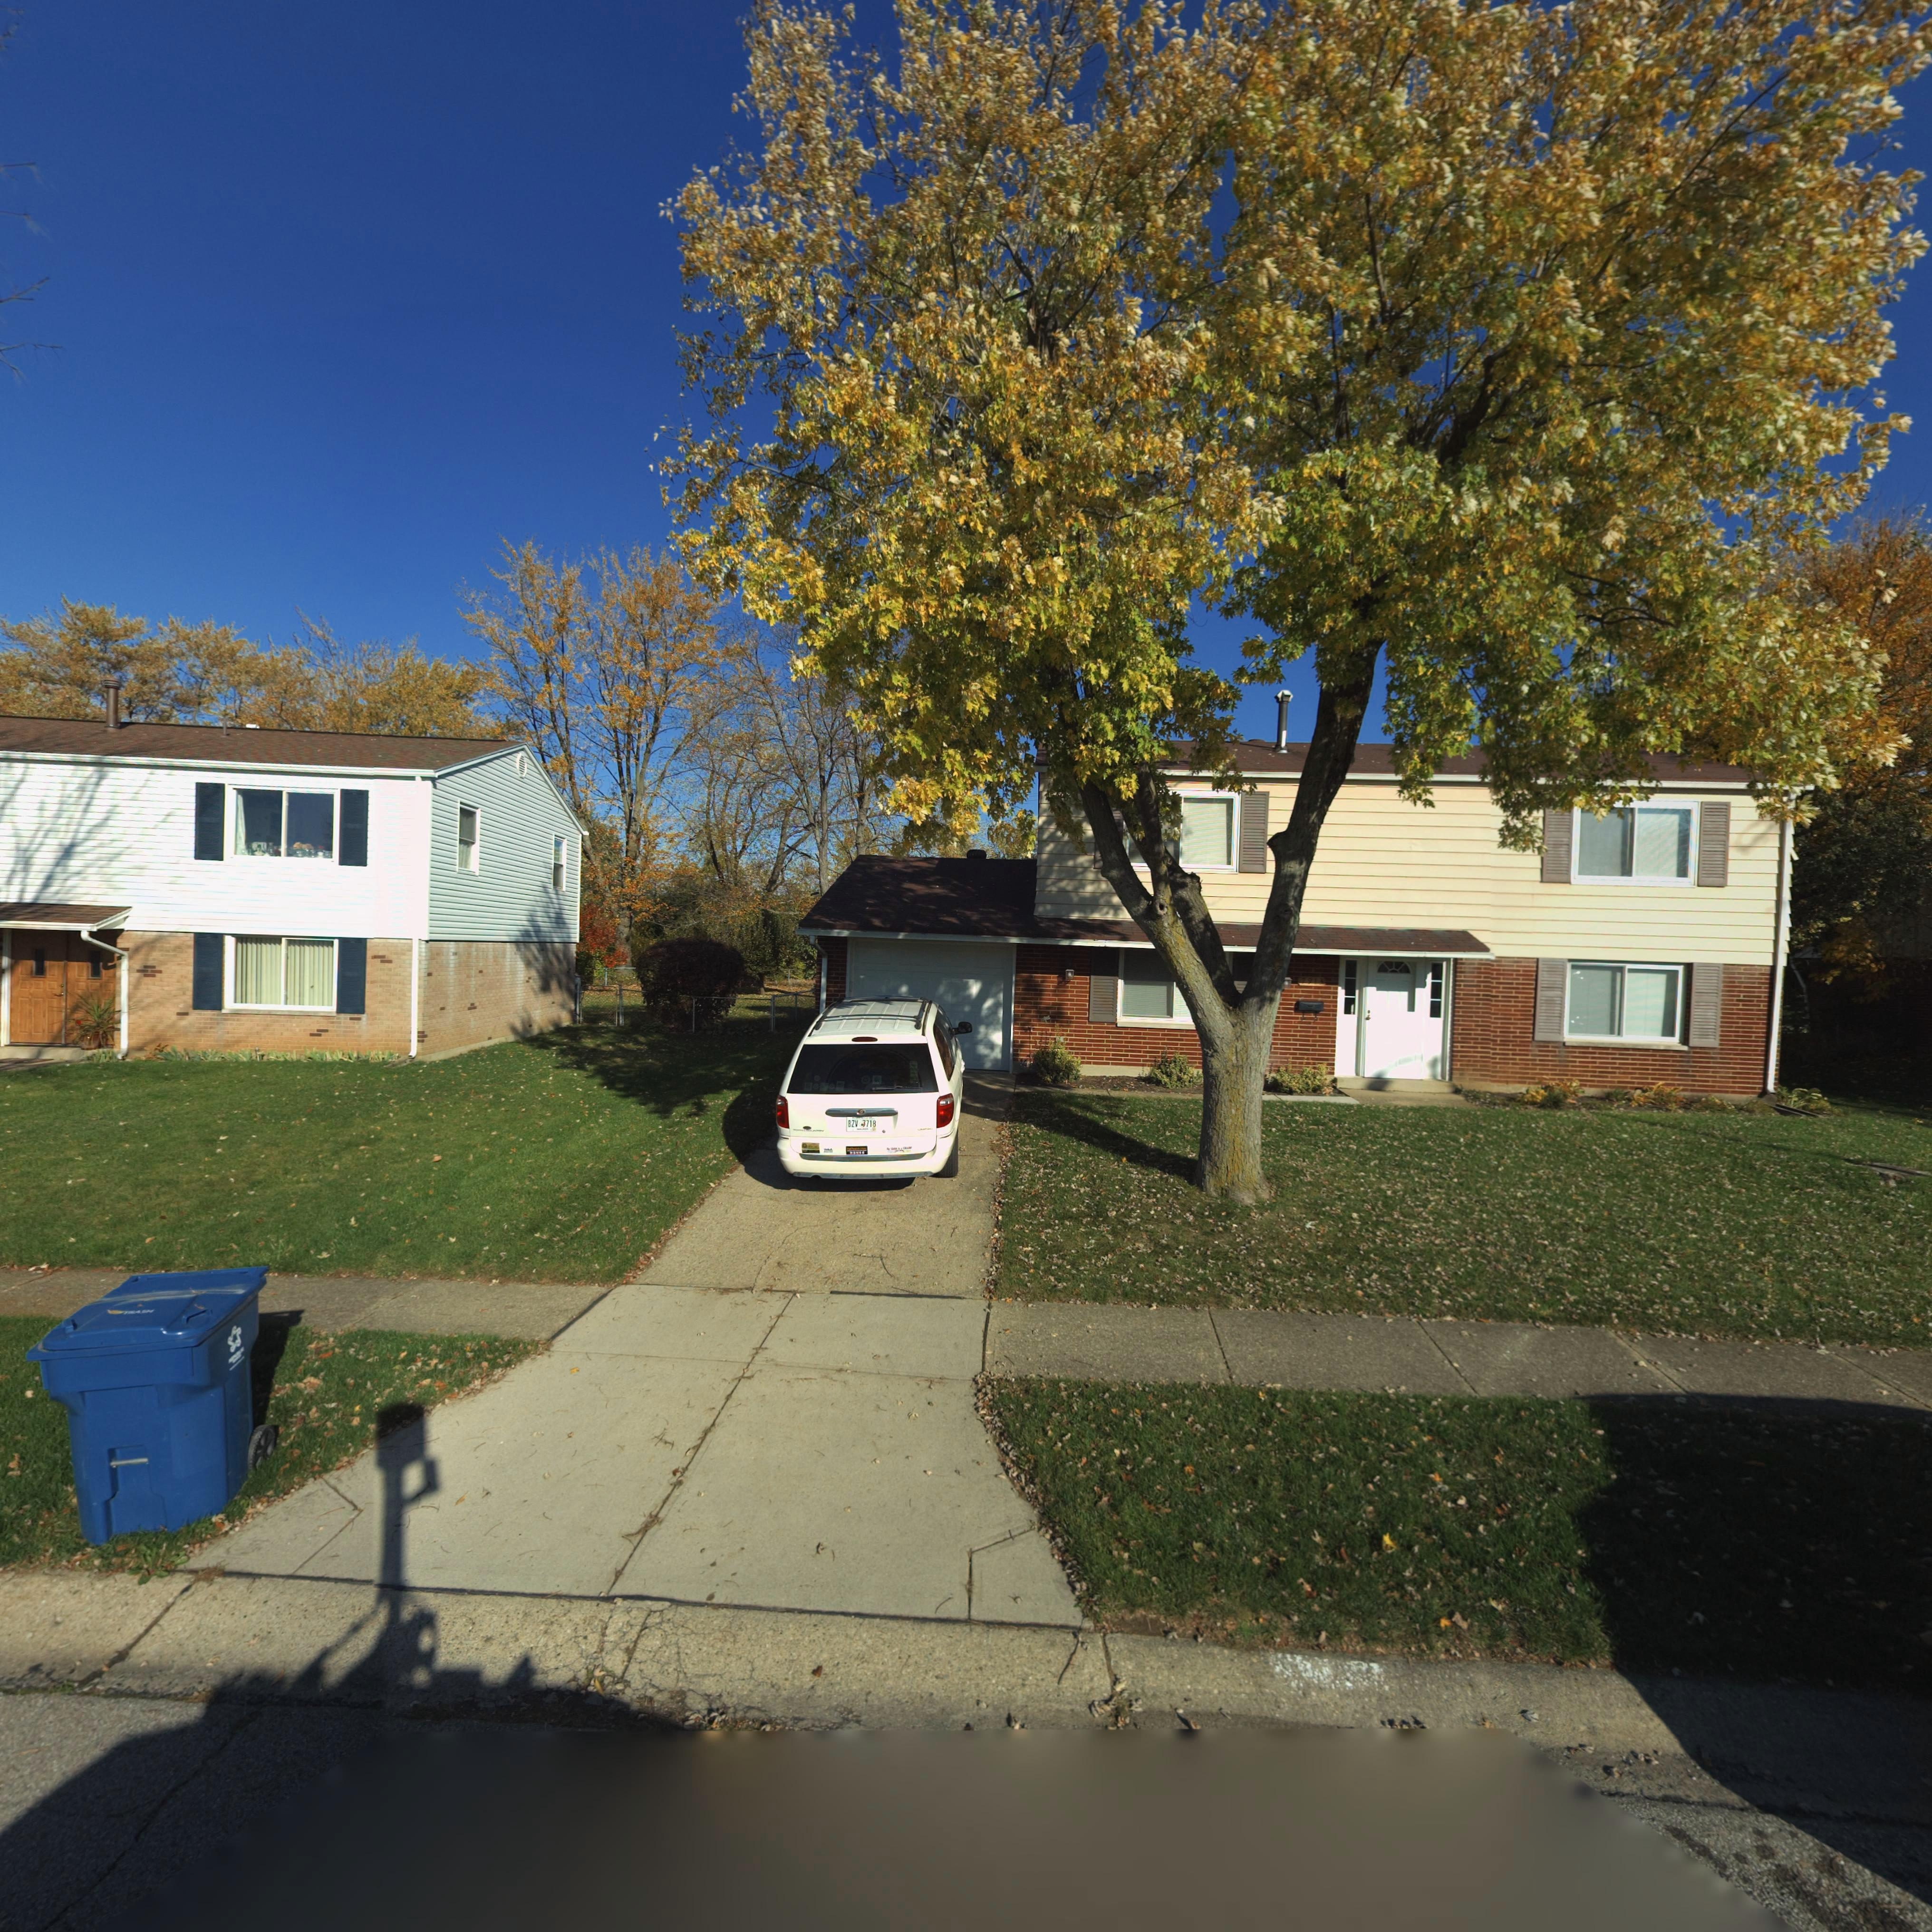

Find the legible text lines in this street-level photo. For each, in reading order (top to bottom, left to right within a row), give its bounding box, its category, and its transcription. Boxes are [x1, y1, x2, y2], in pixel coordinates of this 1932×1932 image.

[1300, 977, 1324, 985] StreetNumber: 7913